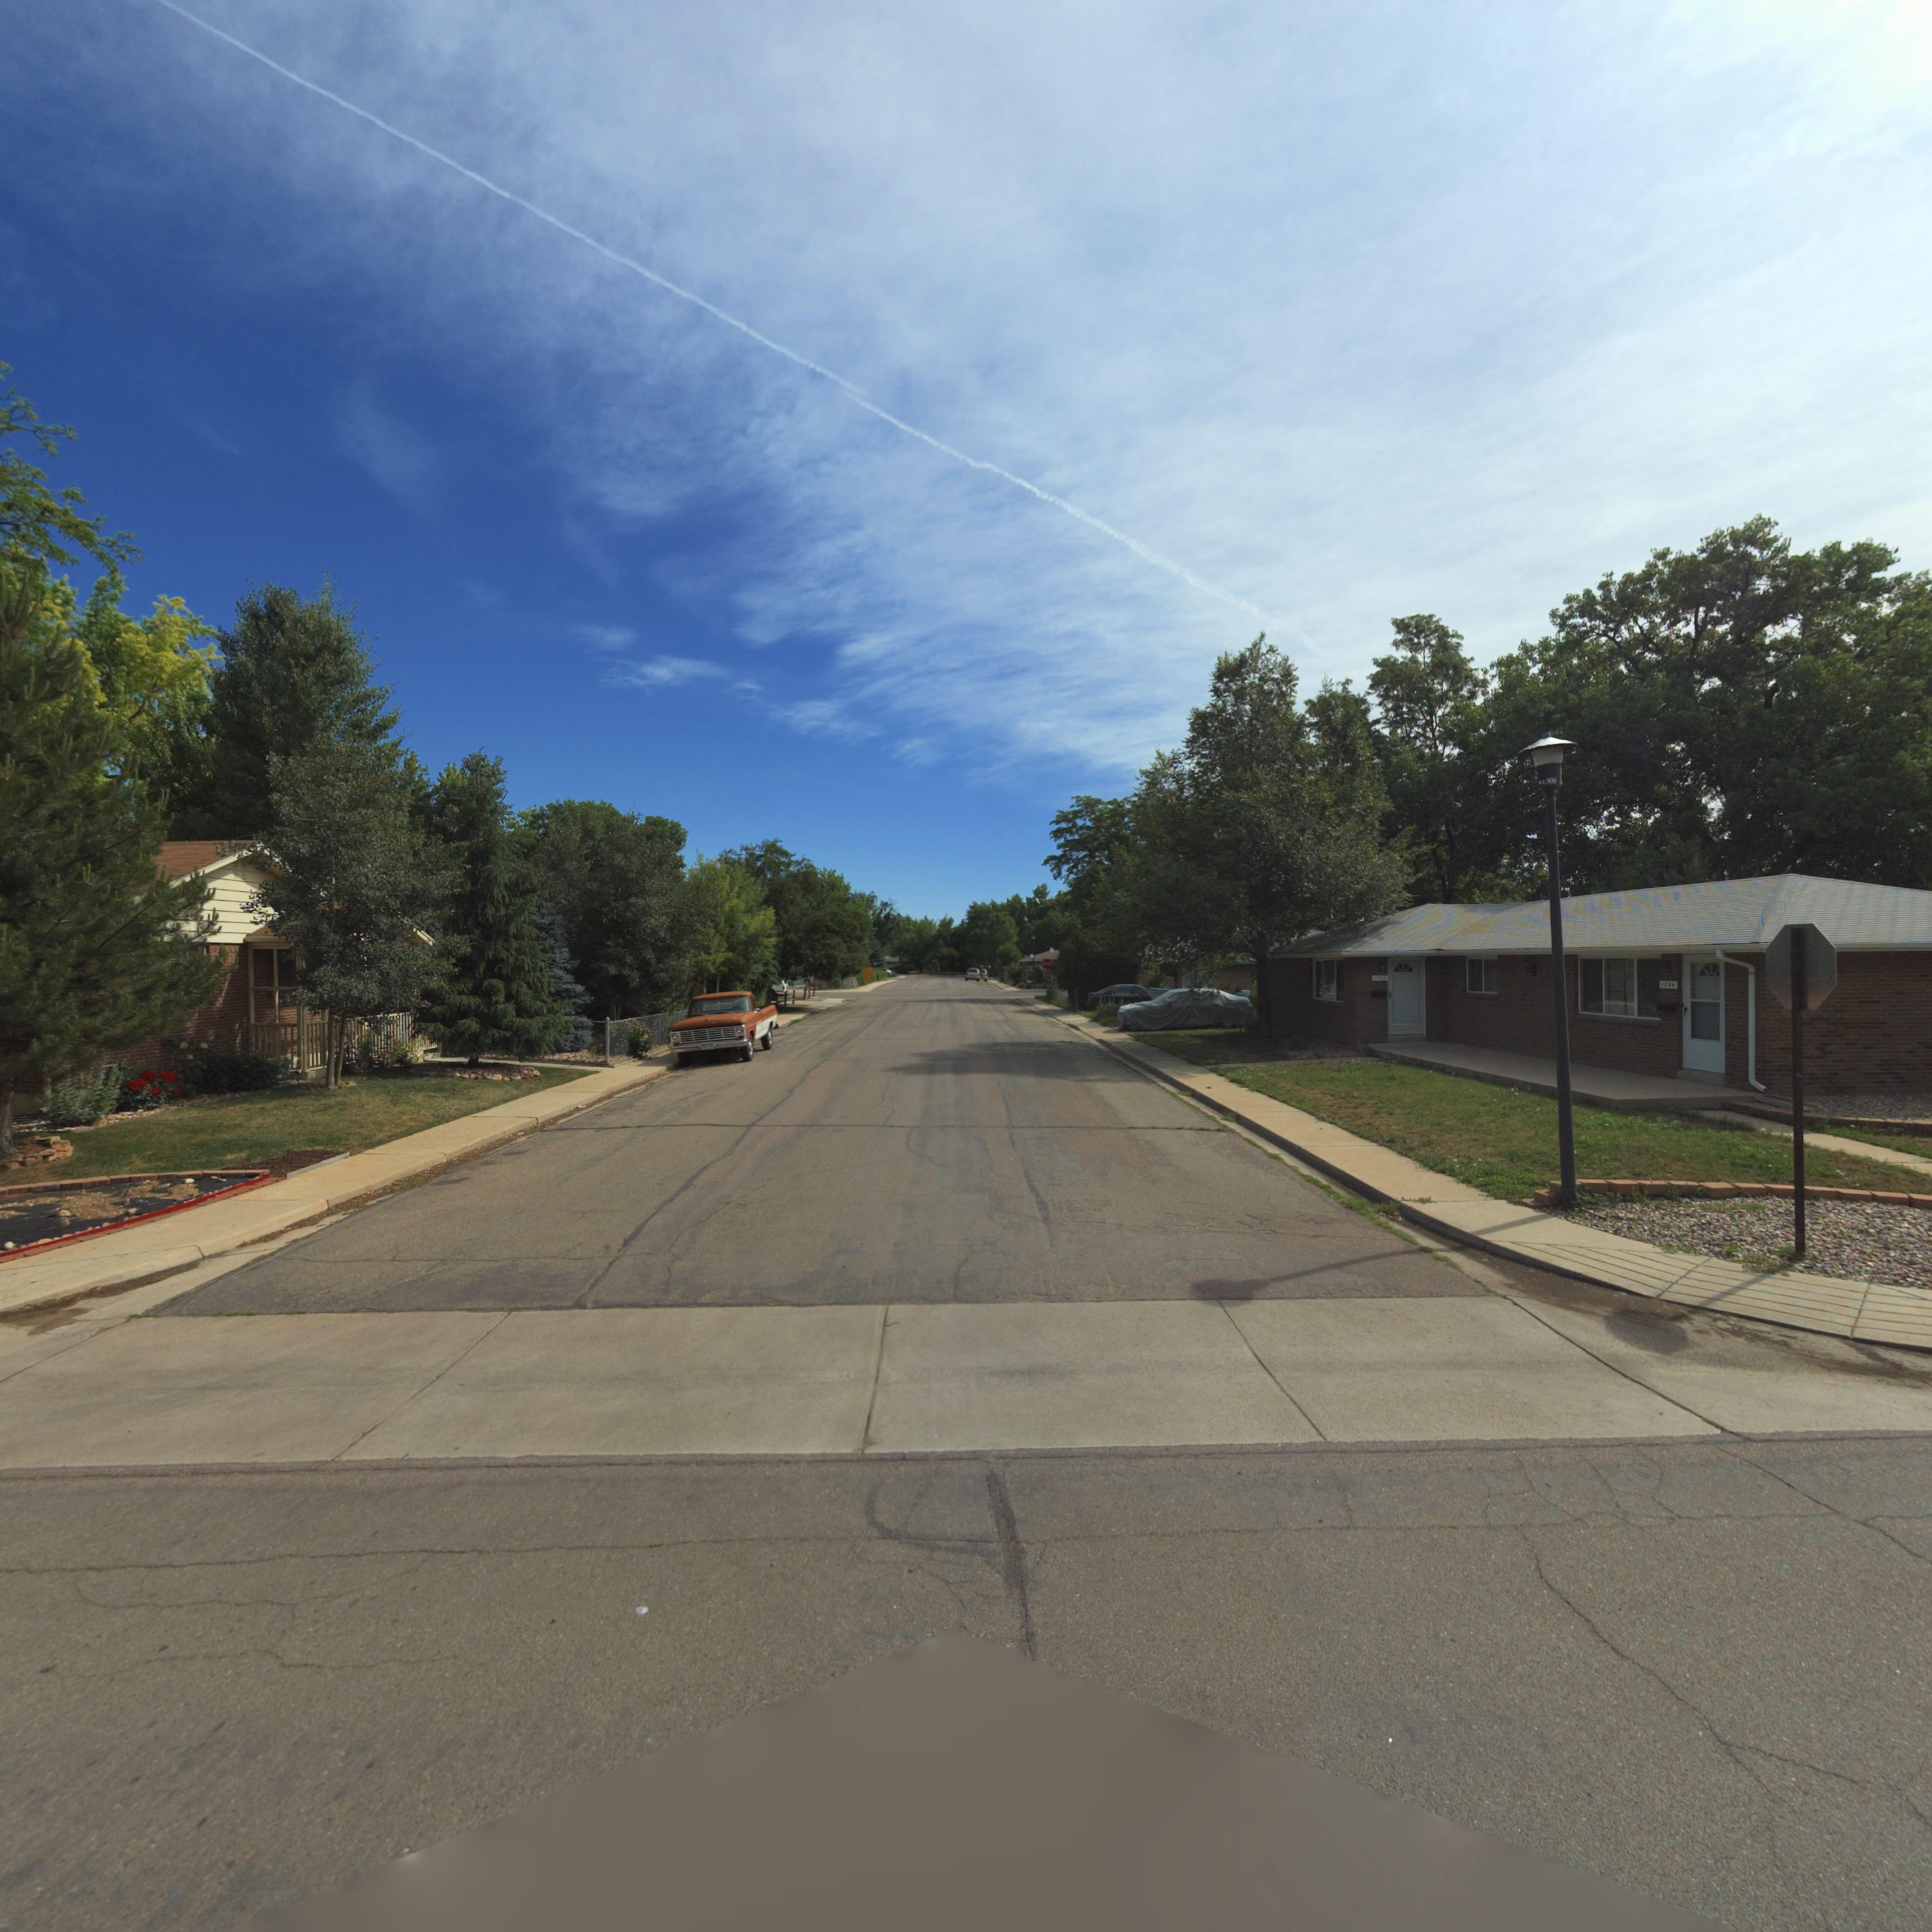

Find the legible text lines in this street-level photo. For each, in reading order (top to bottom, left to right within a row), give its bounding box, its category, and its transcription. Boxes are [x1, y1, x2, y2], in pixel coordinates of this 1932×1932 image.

[1373, 976, 1387, 980] StreetNumber: 1736
[1661, 982, 1675, 987] StreetNumber: 1734